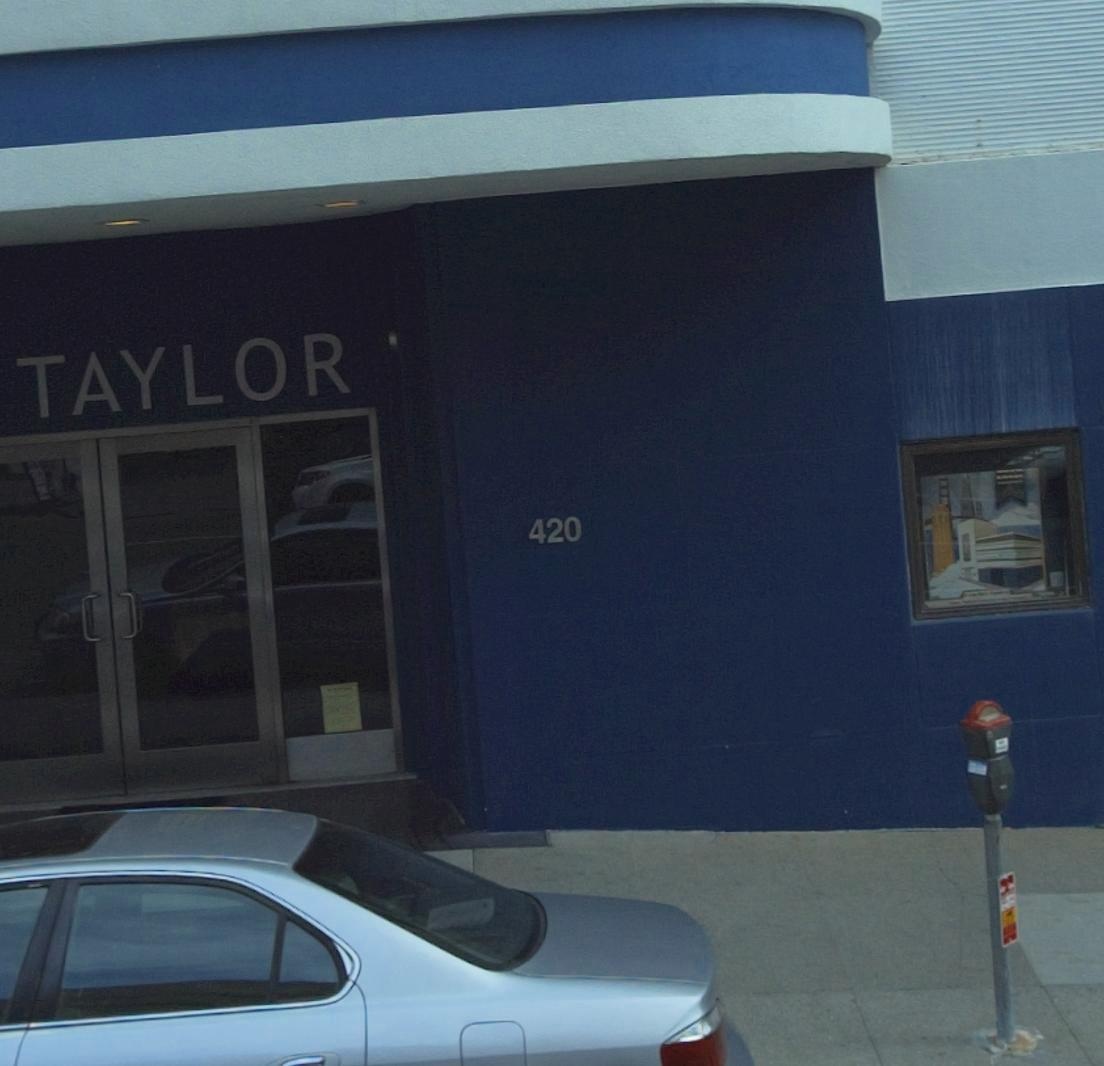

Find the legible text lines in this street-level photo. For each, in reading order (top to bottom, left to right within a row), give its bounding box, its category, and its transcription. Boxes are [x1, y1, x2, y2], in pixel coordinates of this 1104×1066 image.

[9, 323, 361, 425] StreetName: TAYLOR
[524, 512, 588, 547] StreetNumber: 420